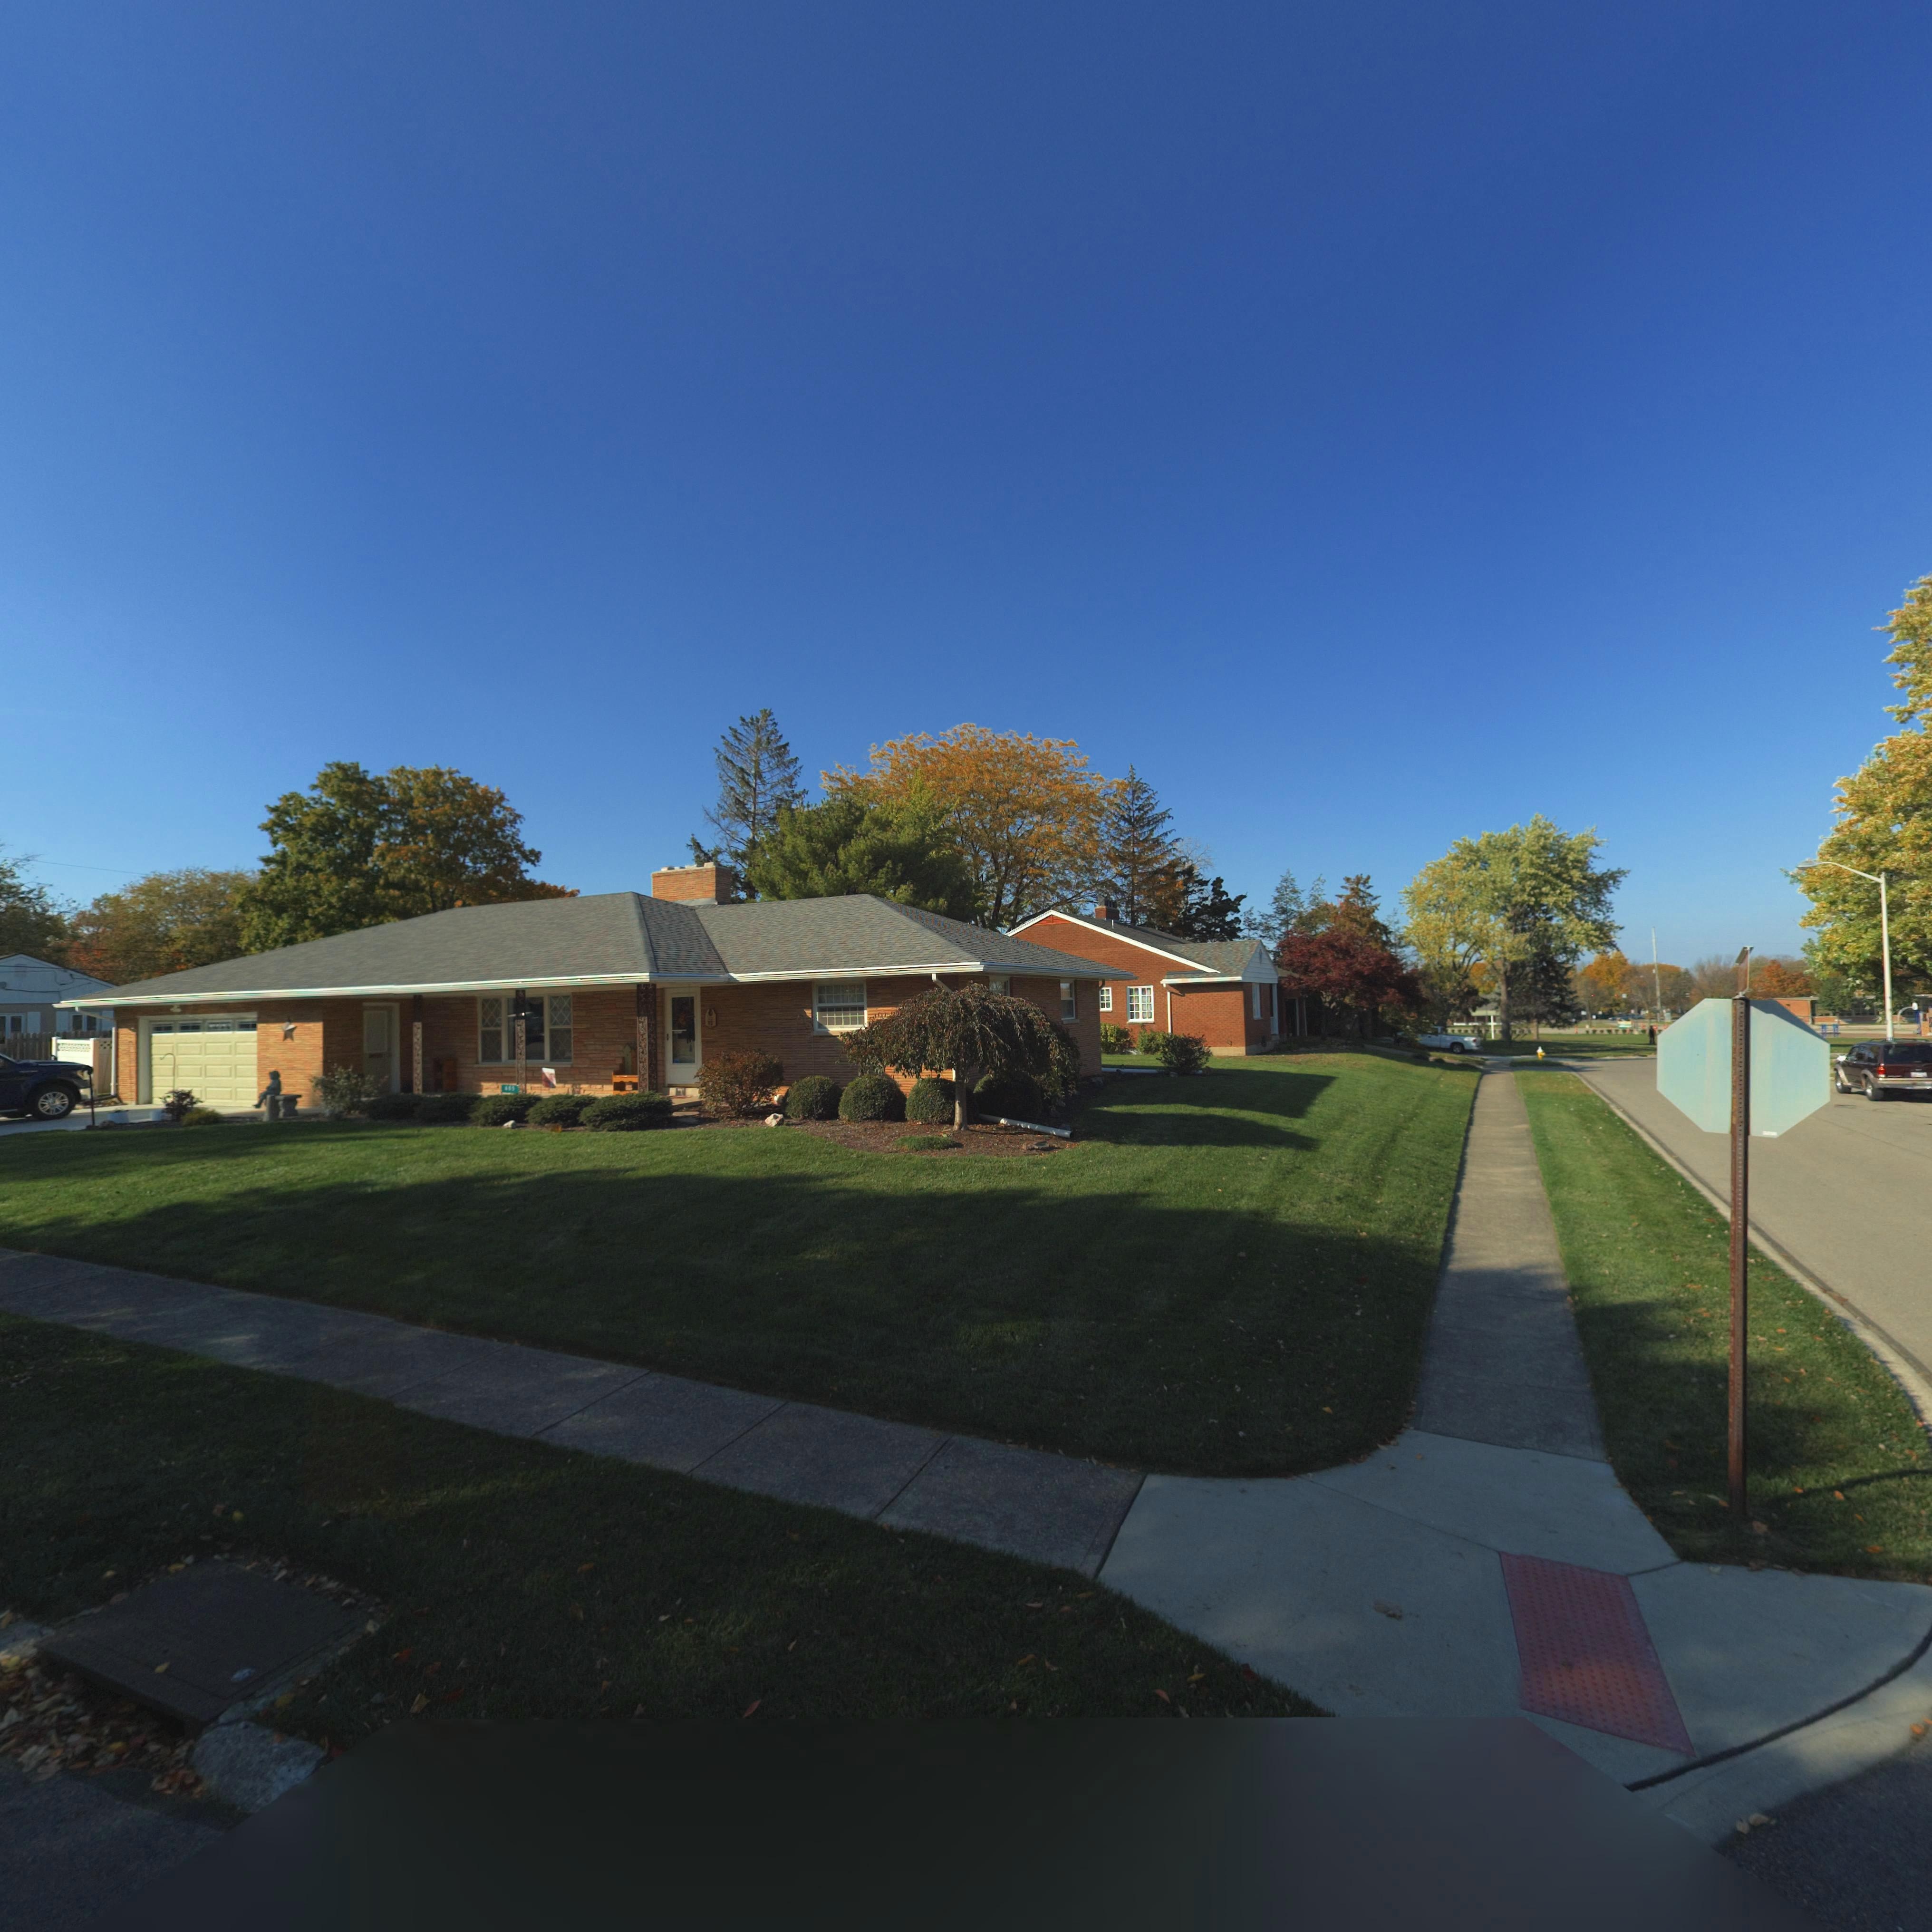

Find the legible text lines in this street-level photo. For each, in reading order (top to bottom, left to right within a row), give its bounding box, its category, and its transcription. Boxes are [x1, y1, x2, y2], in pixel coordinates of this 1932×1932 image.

[504, 1085, 515, 1092] StreetNumber: 6*5